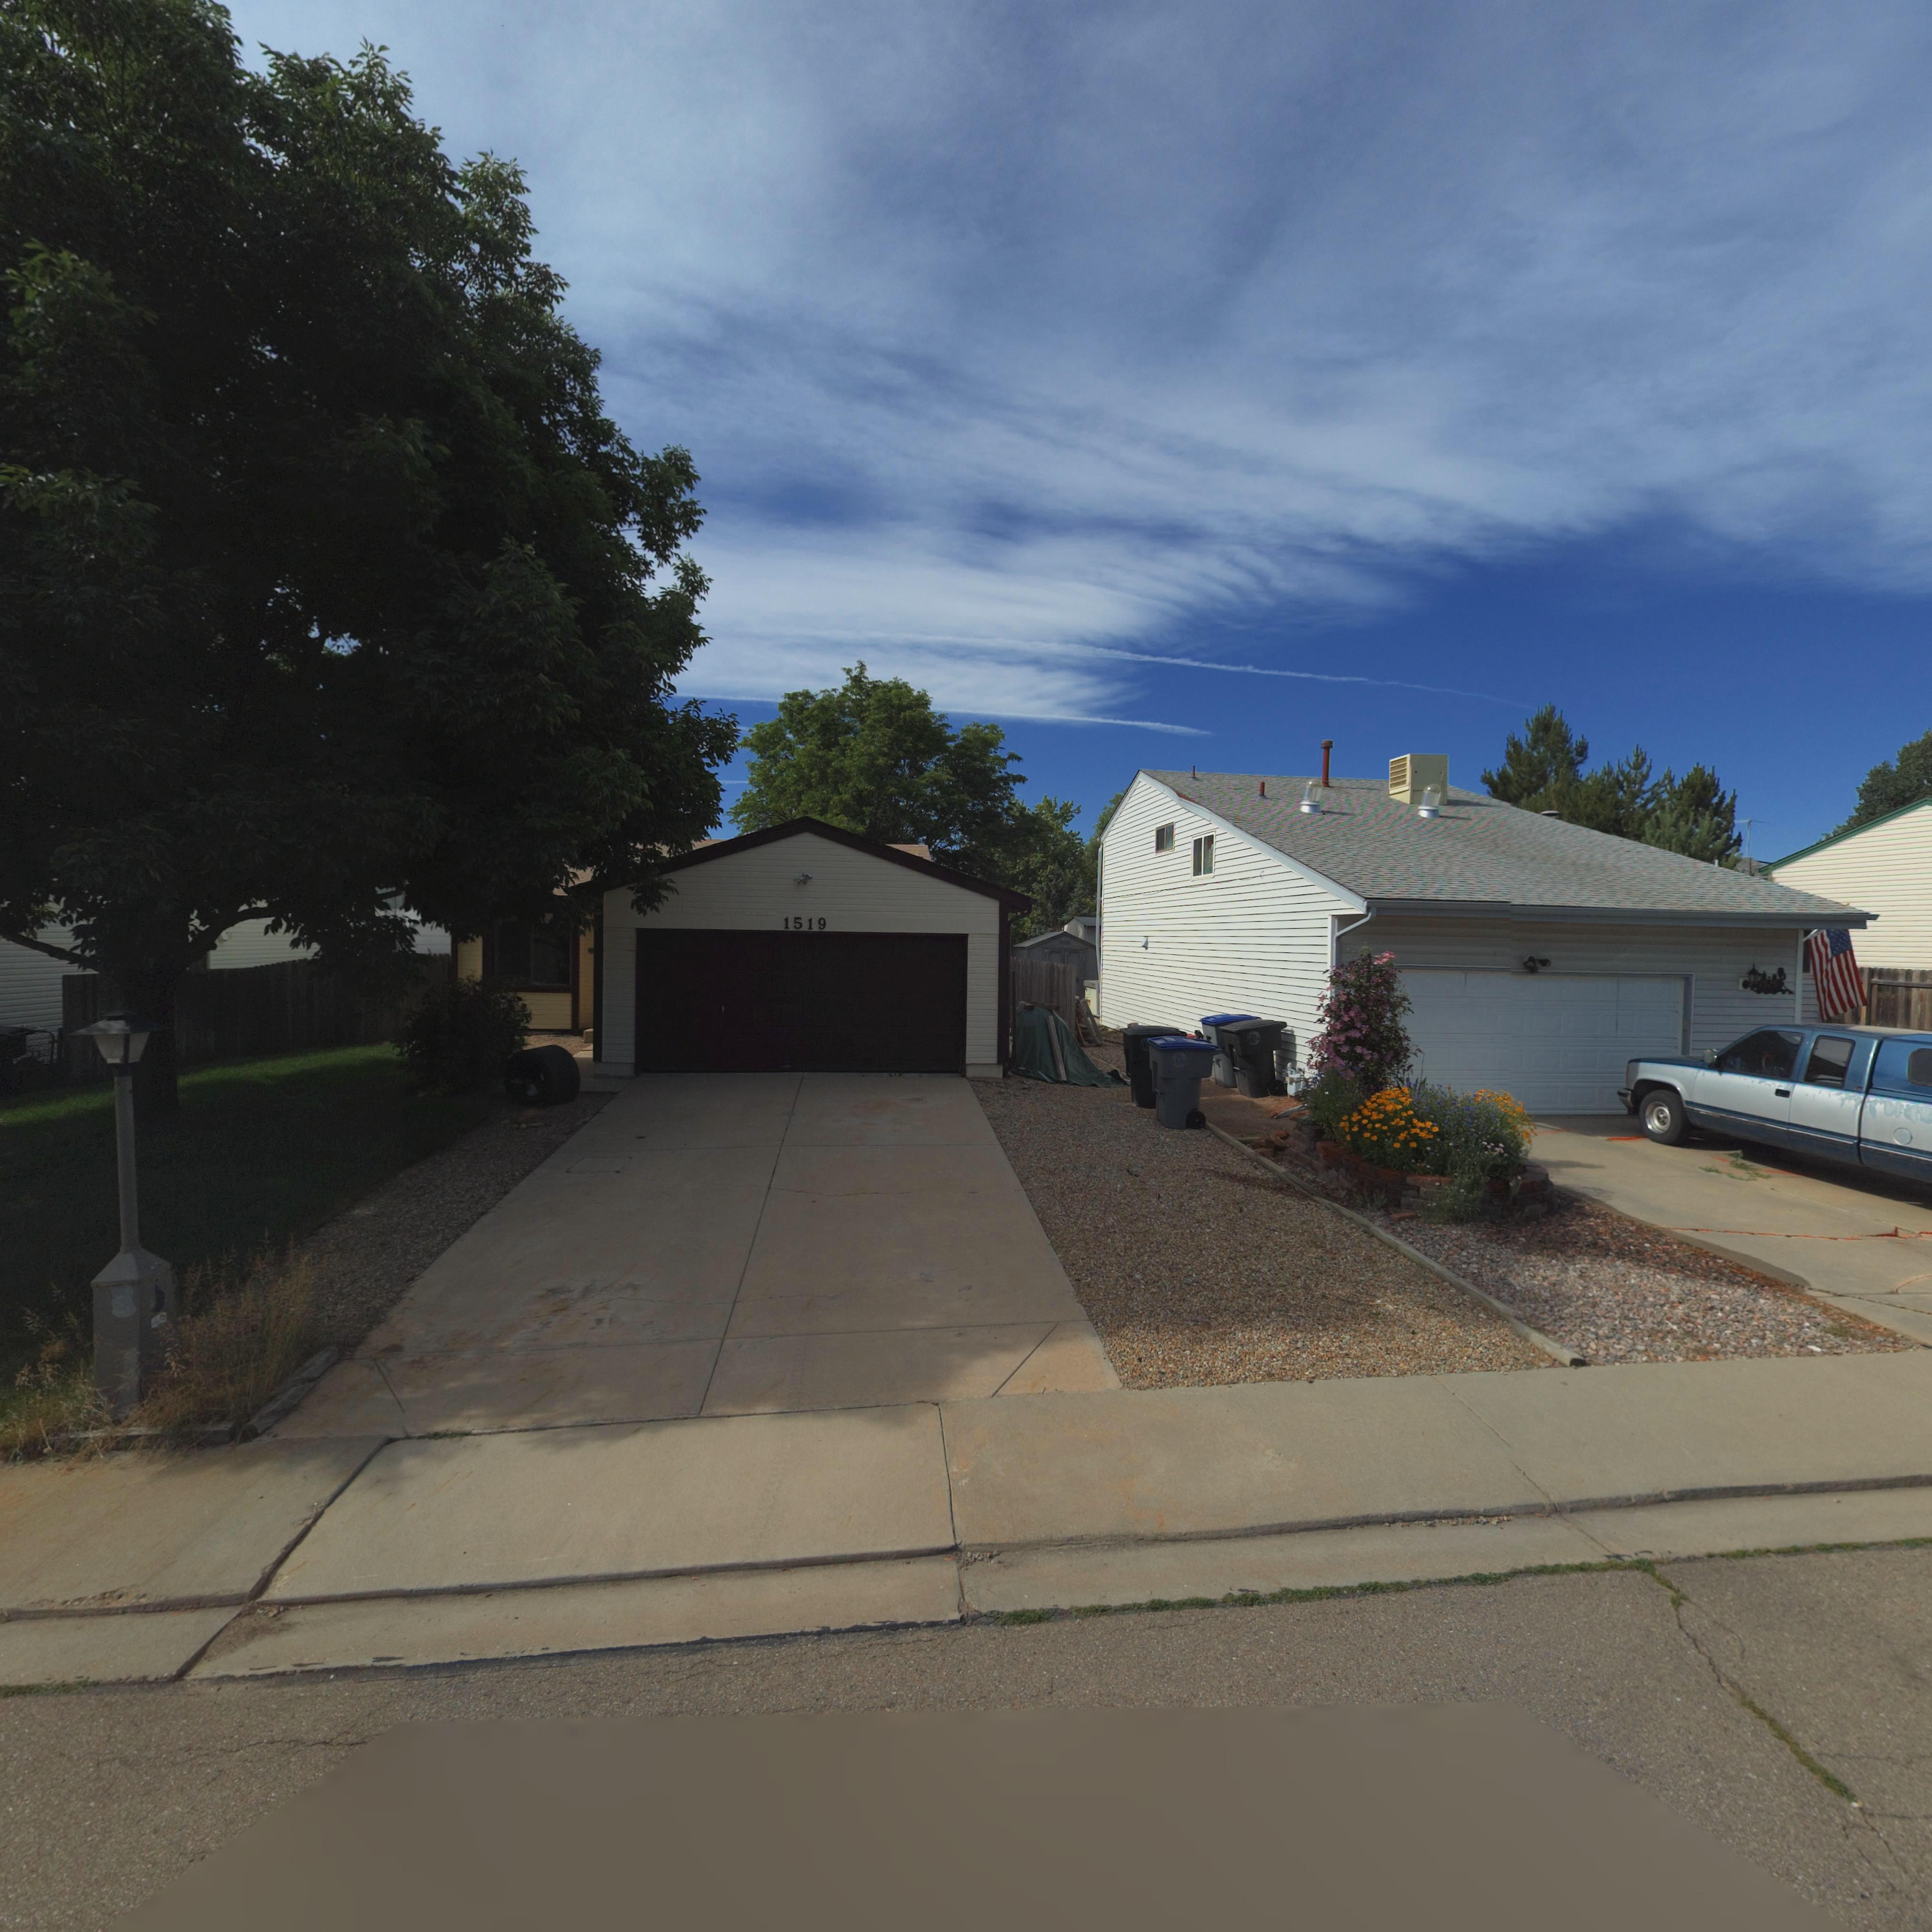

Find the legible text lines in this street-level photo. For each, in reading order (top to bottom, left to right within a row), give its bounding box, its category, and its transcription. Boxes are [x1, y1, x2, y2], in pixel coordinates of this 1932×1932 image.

[783, 916, 826, 929] StreetNumber: 1519